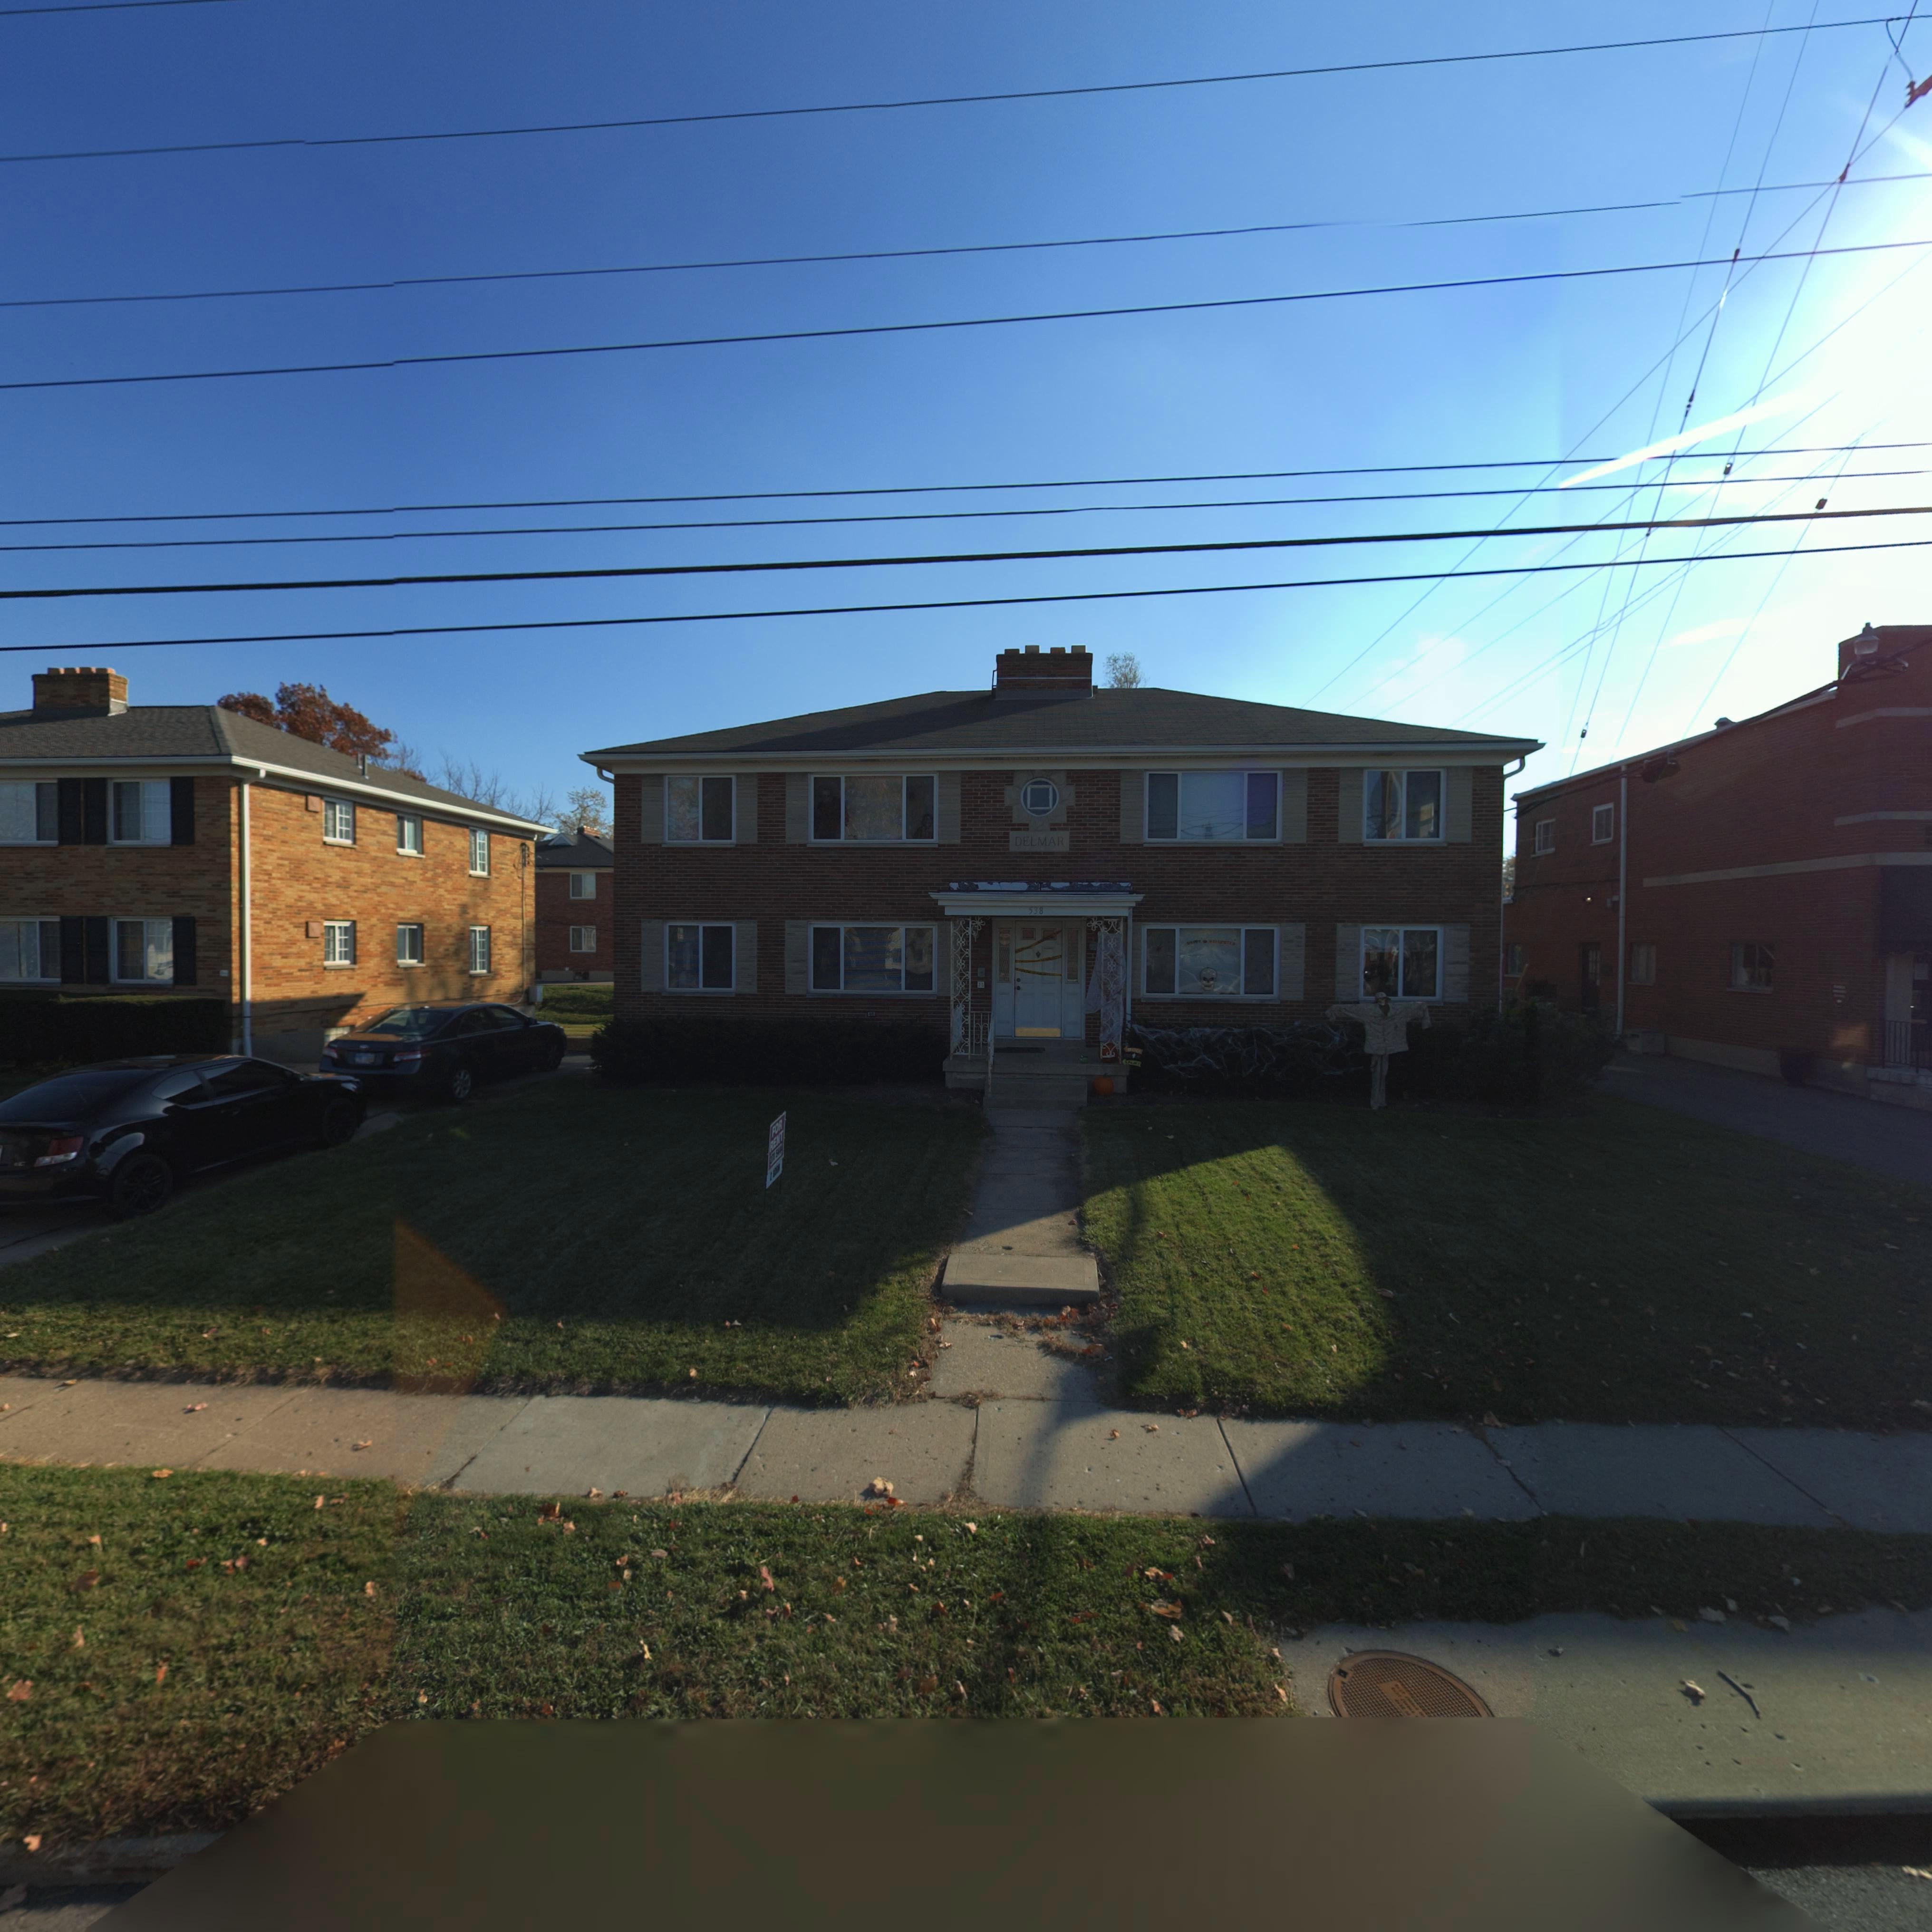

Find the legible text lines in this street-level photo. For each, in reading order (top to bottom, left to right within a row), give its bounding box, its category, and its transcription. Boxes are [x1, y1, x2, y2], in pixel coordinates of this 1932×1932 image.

[1028, 906, 1043, 915] StreetNumber: 538